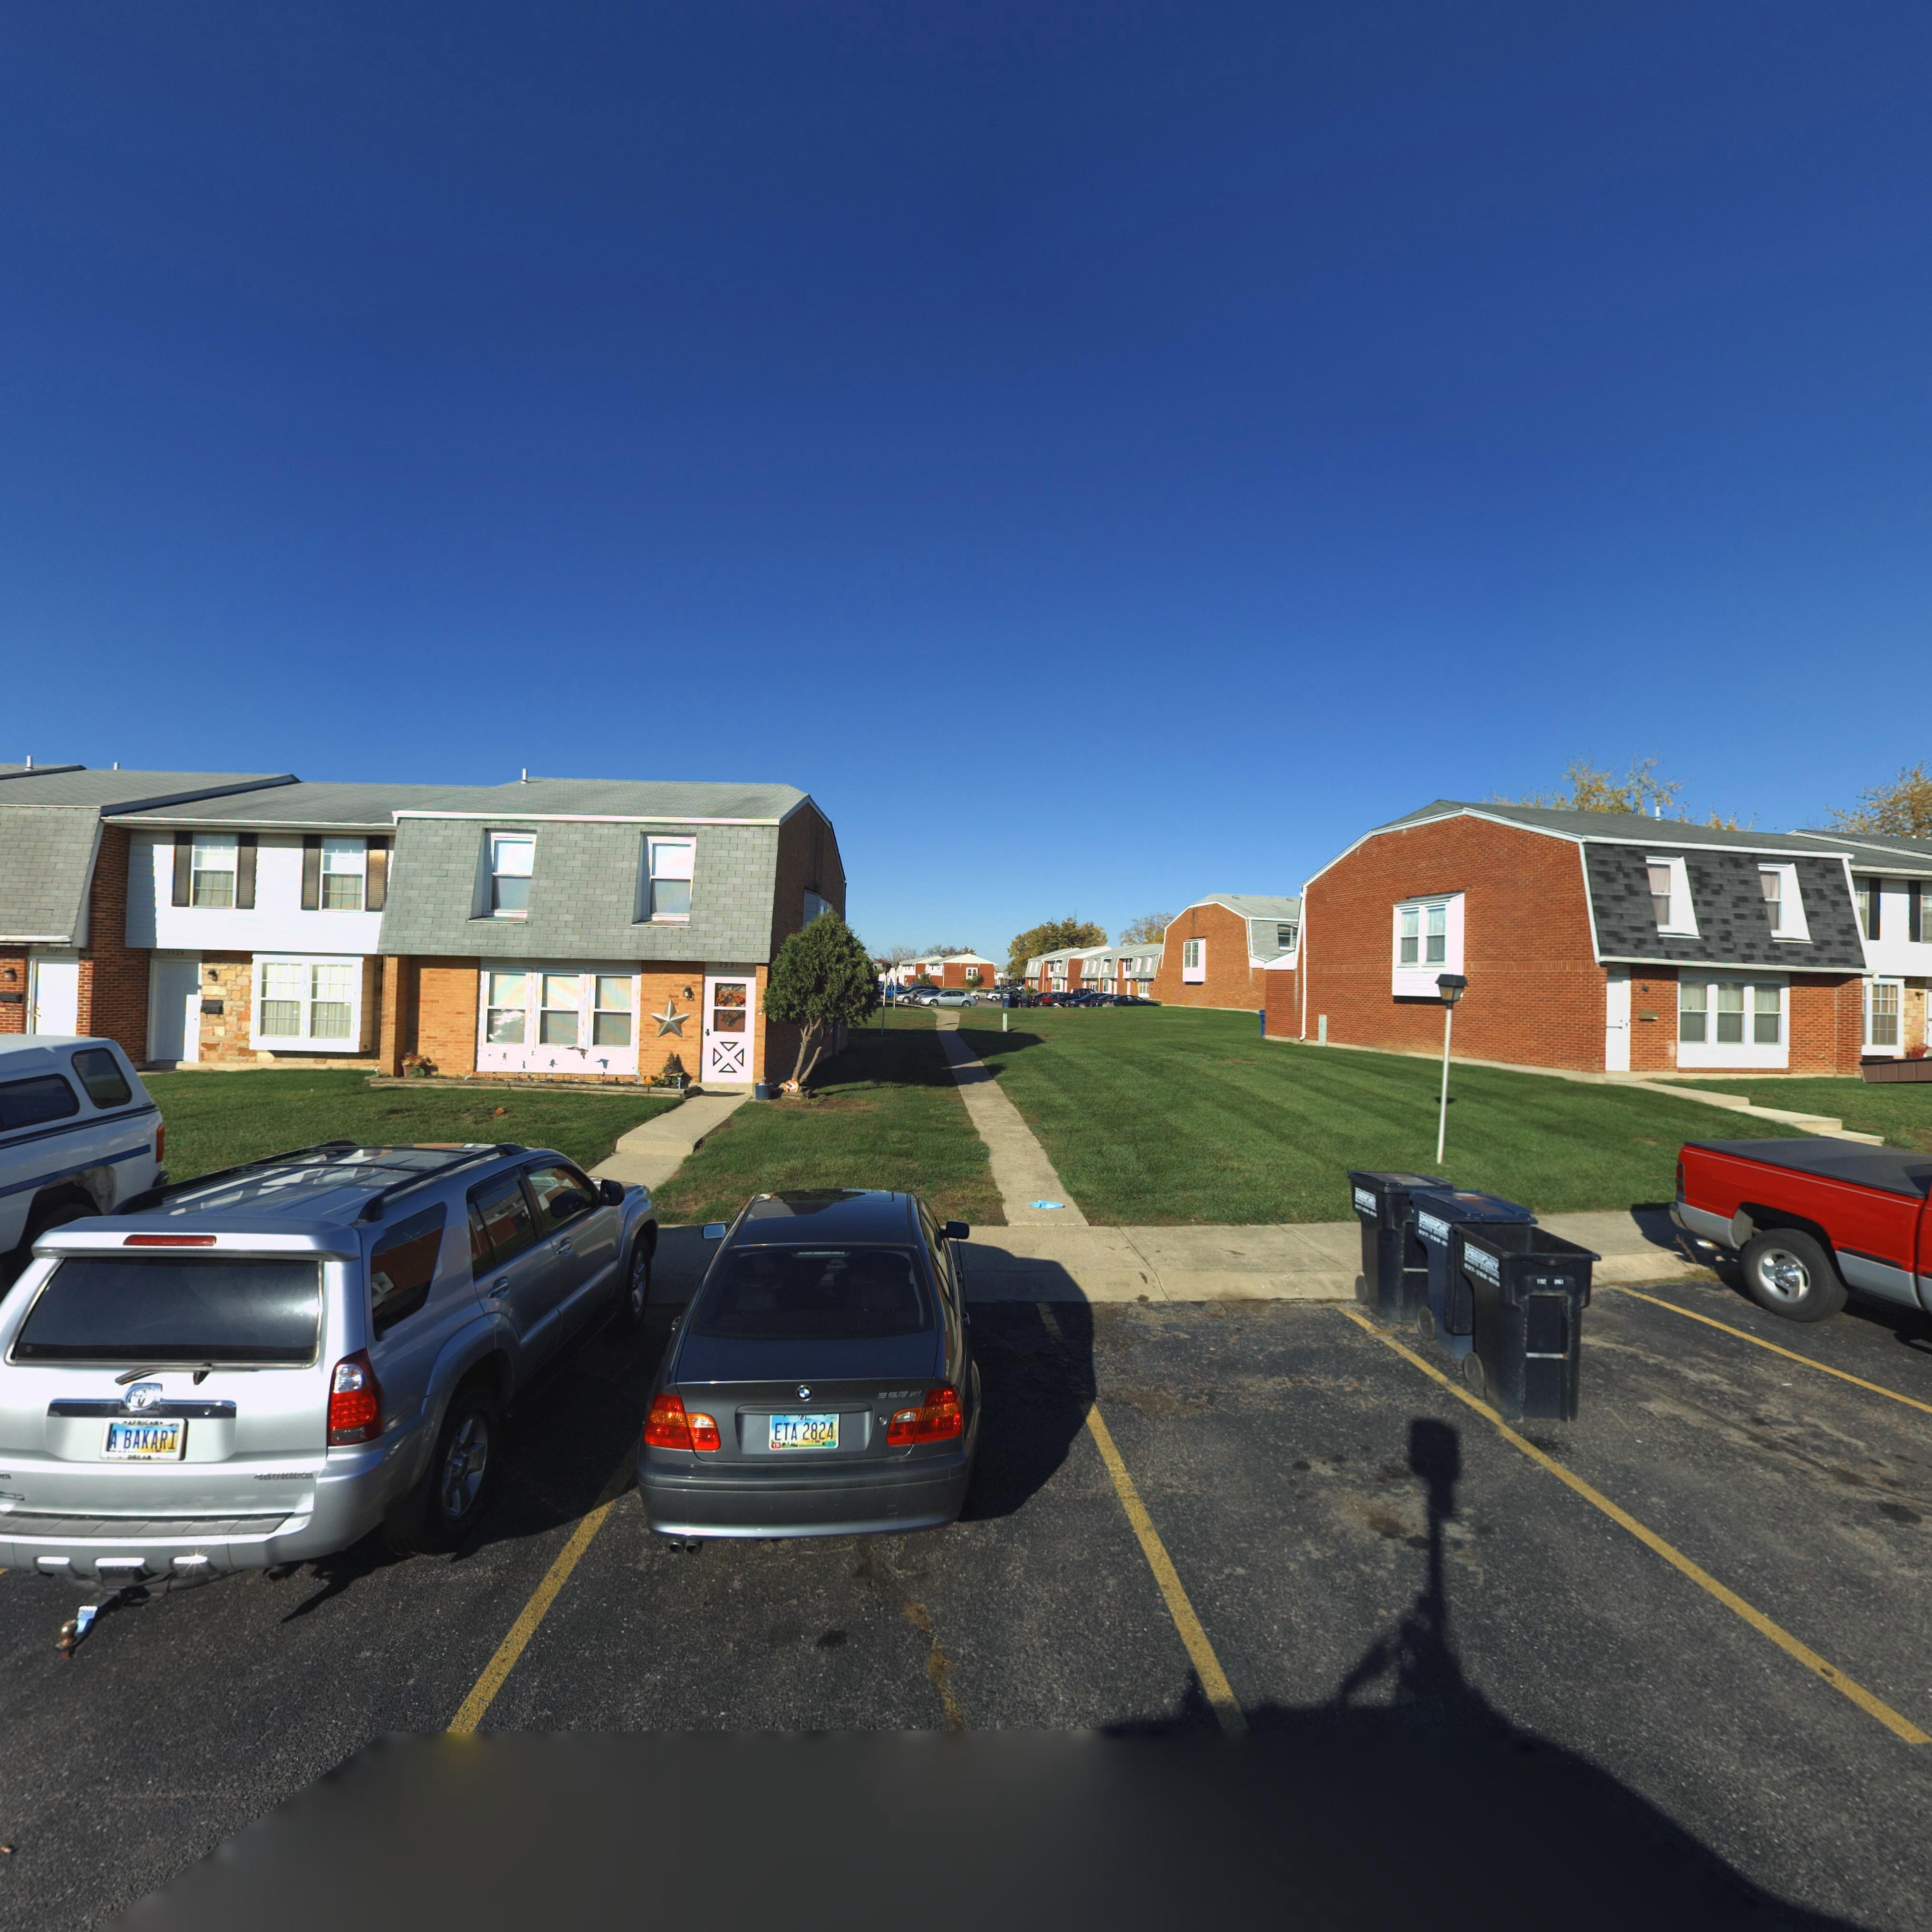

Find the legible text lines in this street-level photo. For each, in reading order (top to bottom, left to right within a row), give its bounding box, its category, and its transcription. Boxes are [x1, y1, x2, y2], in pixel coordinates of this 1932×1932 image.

[46, 947, 62, 953] StreetNumber: 752*
[166, 949, 185, 956] StreetNumber: 7529
[719, 962, 739, 969] StreetNumber: 7531